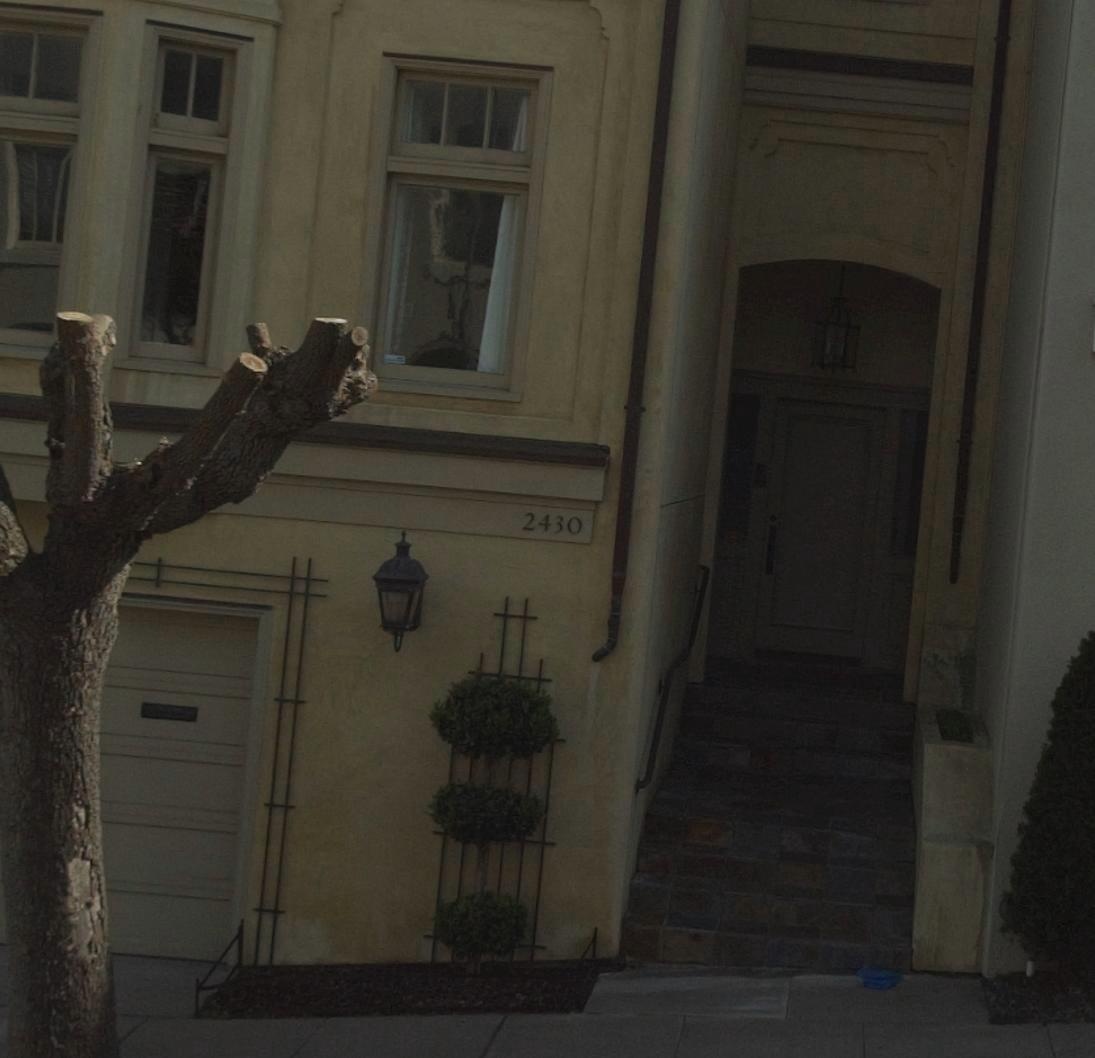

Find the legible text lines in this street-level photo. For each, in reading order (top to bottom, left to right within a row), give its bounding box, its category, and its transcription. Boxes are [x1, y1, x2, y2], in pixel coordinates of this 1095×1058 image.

[520, 509, 585, 537] StreetNumber: 2430